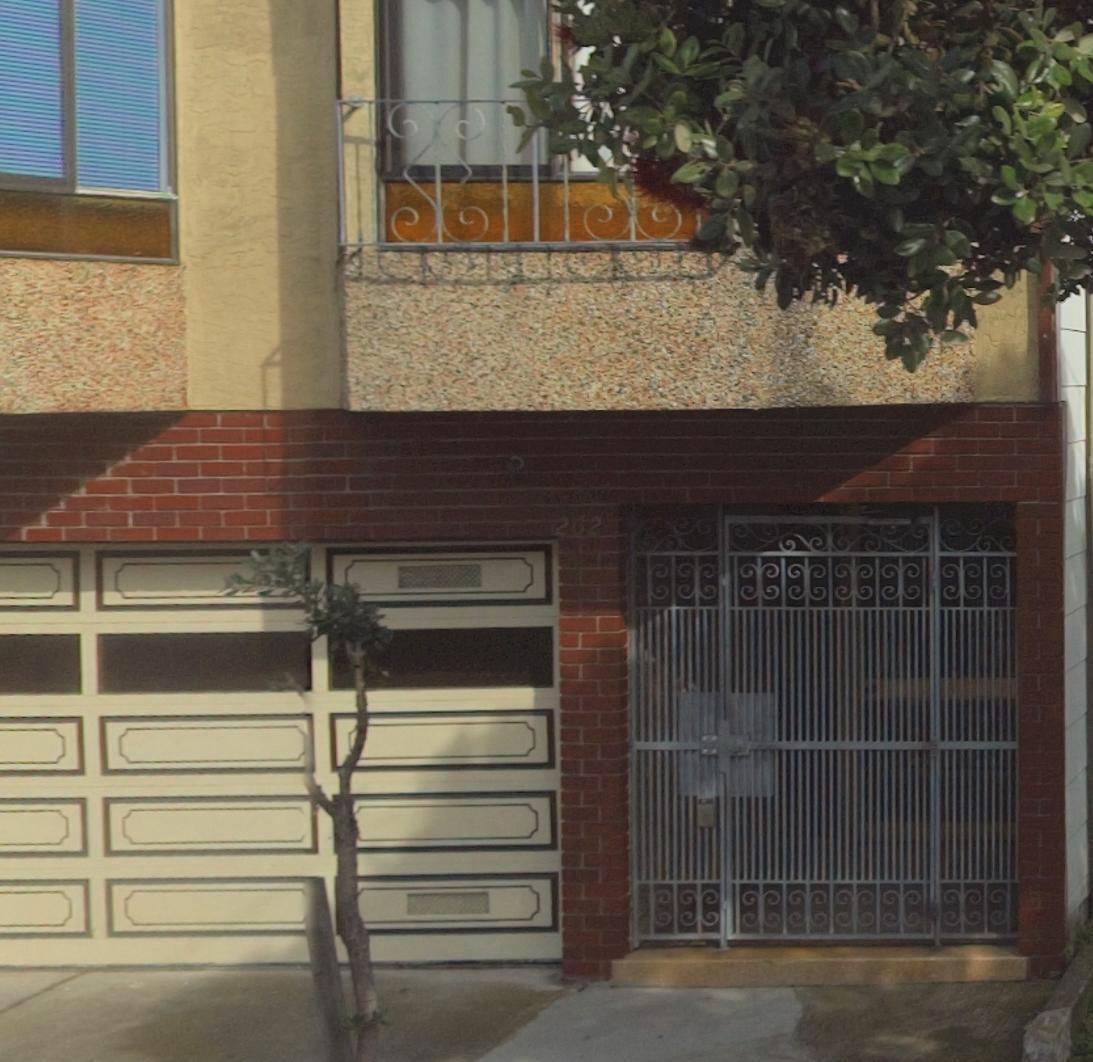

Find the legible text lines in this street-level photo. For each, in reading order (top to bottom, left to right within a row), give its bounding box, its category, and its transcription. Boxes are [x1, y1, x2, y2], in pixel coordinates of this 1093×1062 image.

[553, 513, 603, 539] StreetNumber: 262